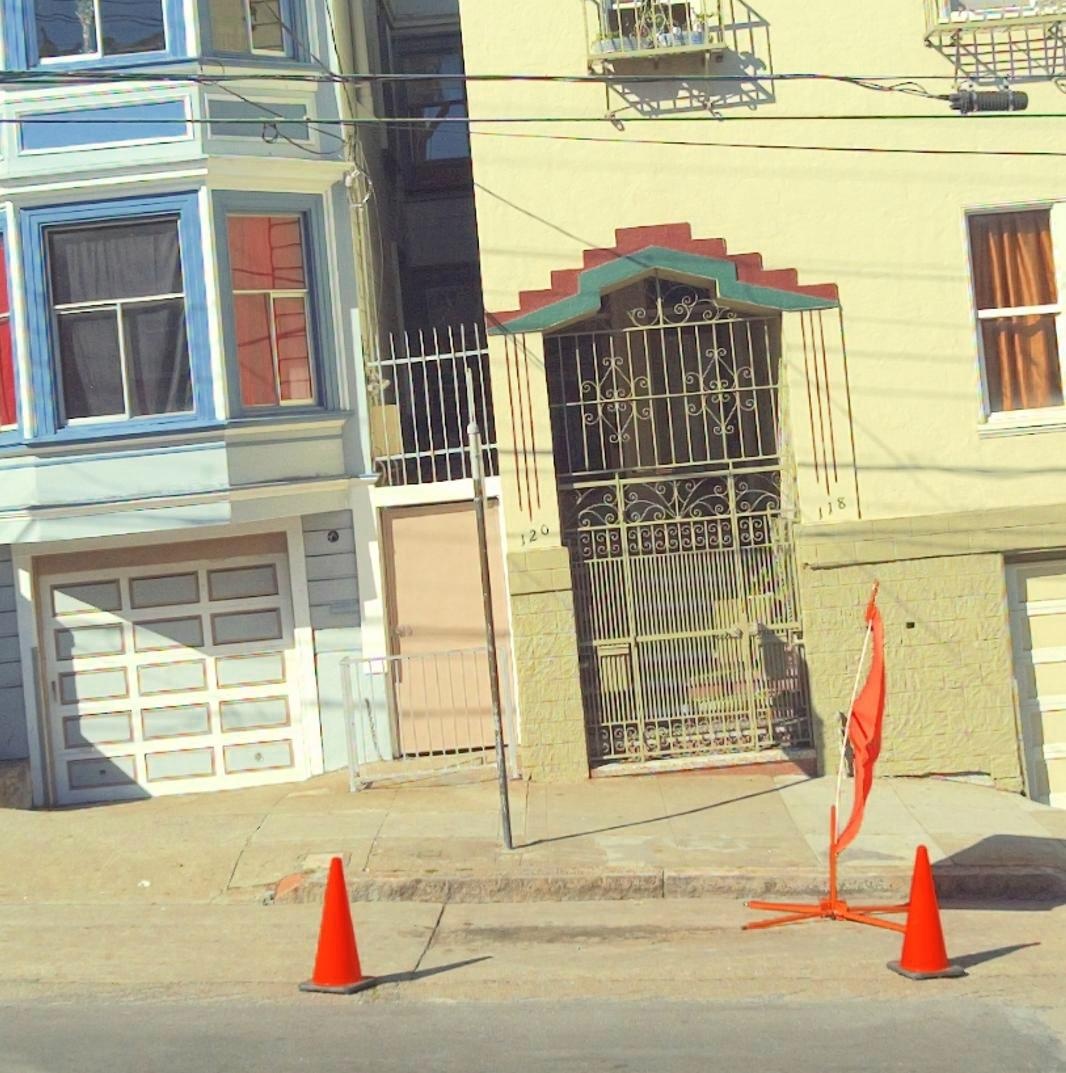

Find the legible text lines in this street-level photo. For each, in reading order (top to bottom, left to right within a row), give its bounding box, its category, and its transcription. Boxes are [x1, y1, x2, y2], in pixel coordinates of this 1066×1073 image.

[519, 520, 553, 550] StreetNumber: 120